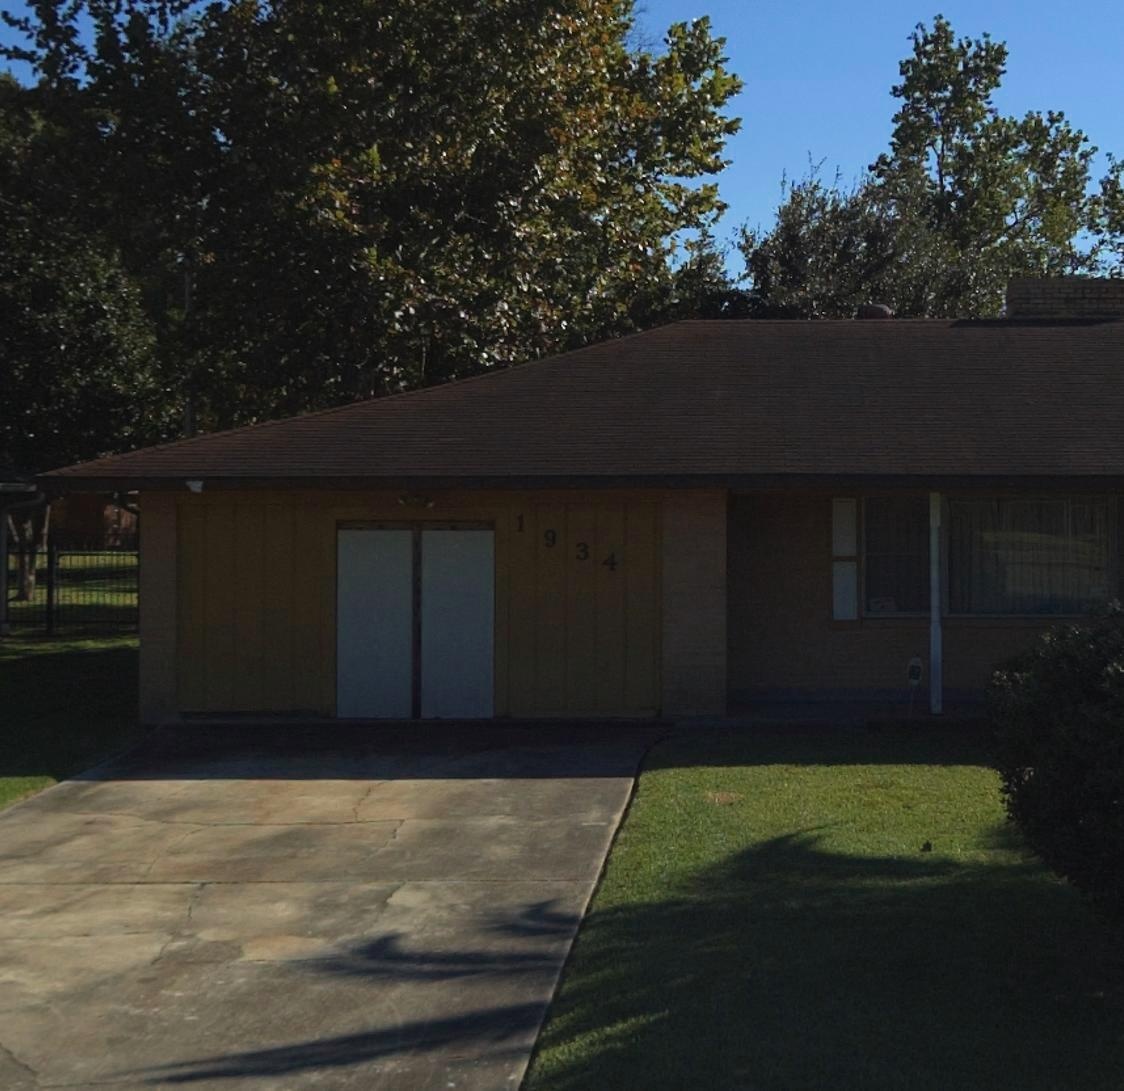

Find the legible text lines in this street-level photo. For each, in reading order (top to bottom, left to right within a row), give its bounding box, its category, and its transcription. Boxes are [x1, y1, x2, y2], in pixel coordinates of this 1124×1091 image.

[515, 510, 619, 574] StreetNumber: 1934